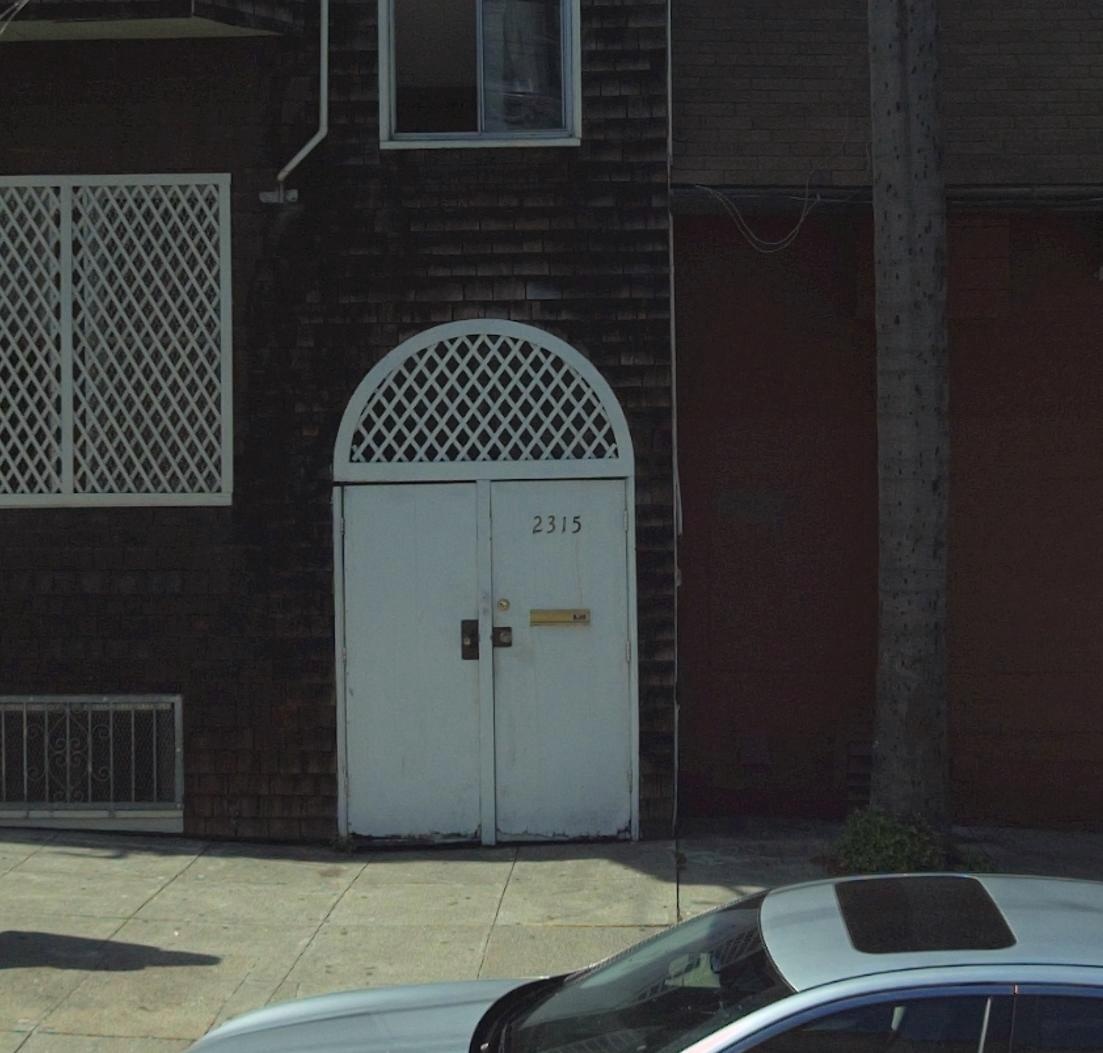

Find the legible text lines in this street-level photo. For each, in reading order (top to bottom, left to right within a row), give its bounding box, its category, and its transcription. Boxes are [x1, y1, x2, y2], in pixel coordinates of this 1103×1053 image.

[530, 513, 584, 536] StreetNumber: 2315